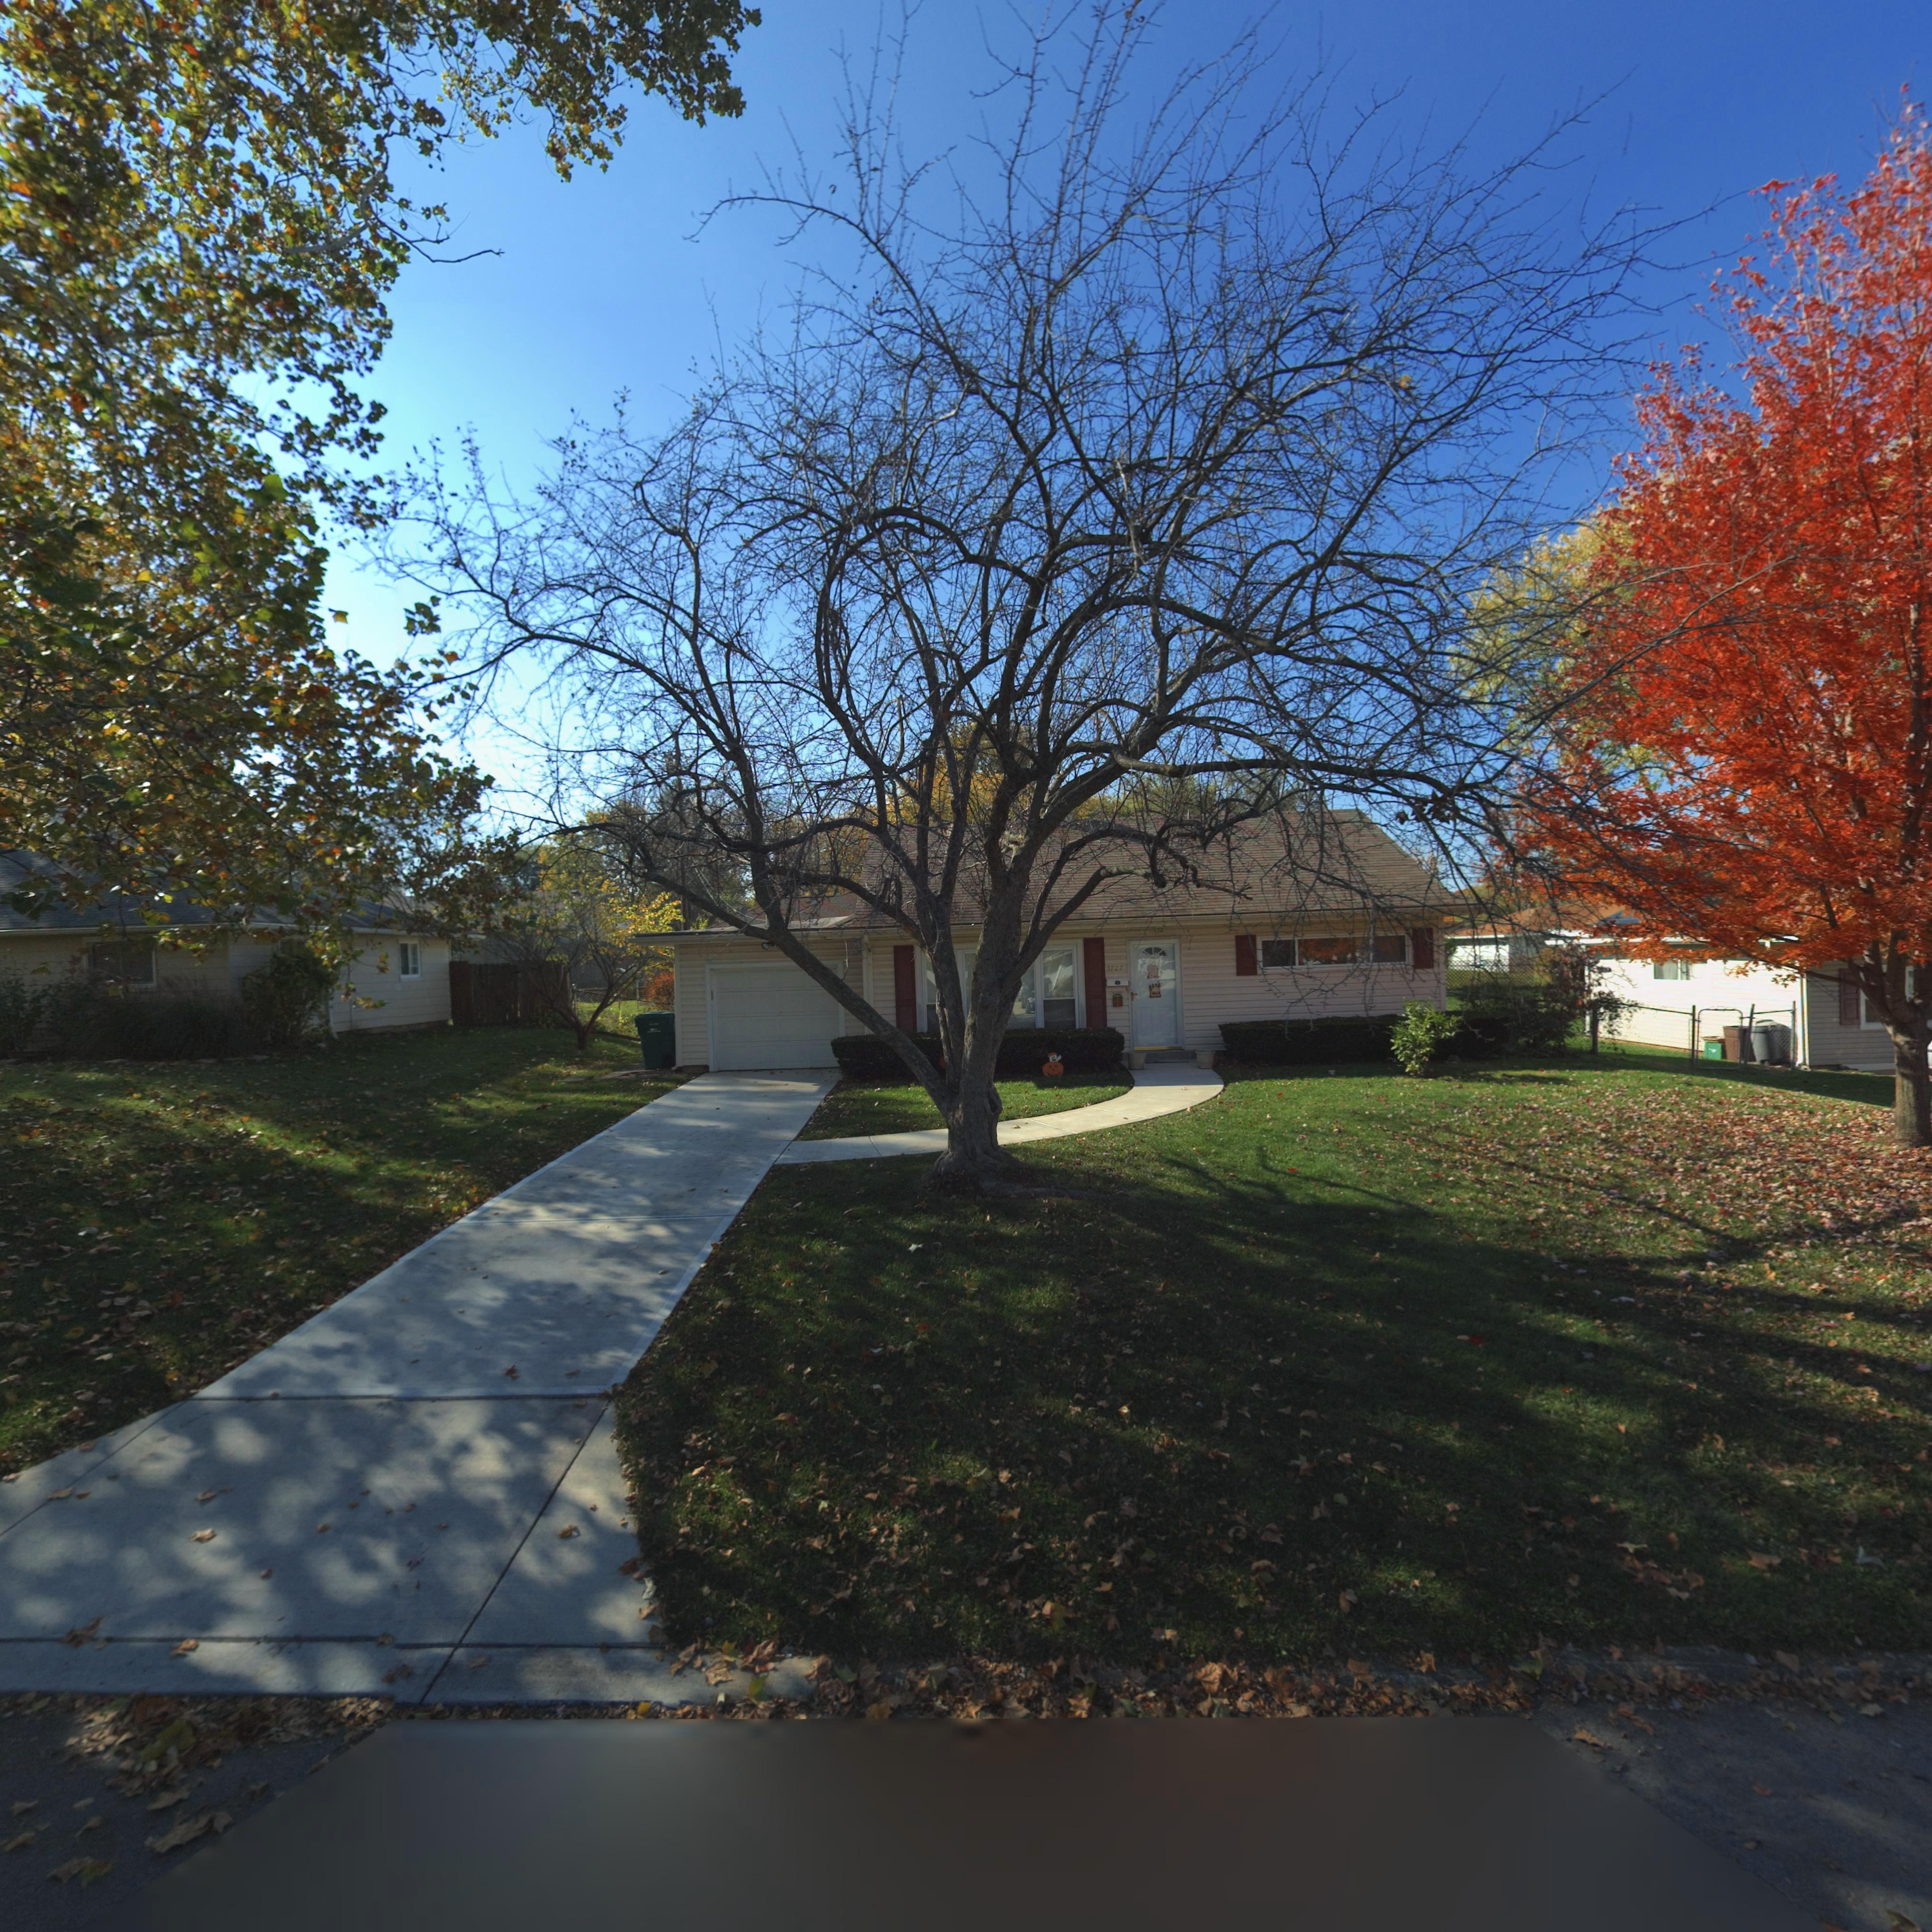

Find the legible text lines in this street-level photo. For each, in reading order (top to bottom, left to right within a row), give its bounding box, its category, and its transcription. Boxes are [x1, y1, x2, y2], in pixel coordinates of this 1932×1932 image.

[1106, 965, 1124, 972] StreetNumber: 3727